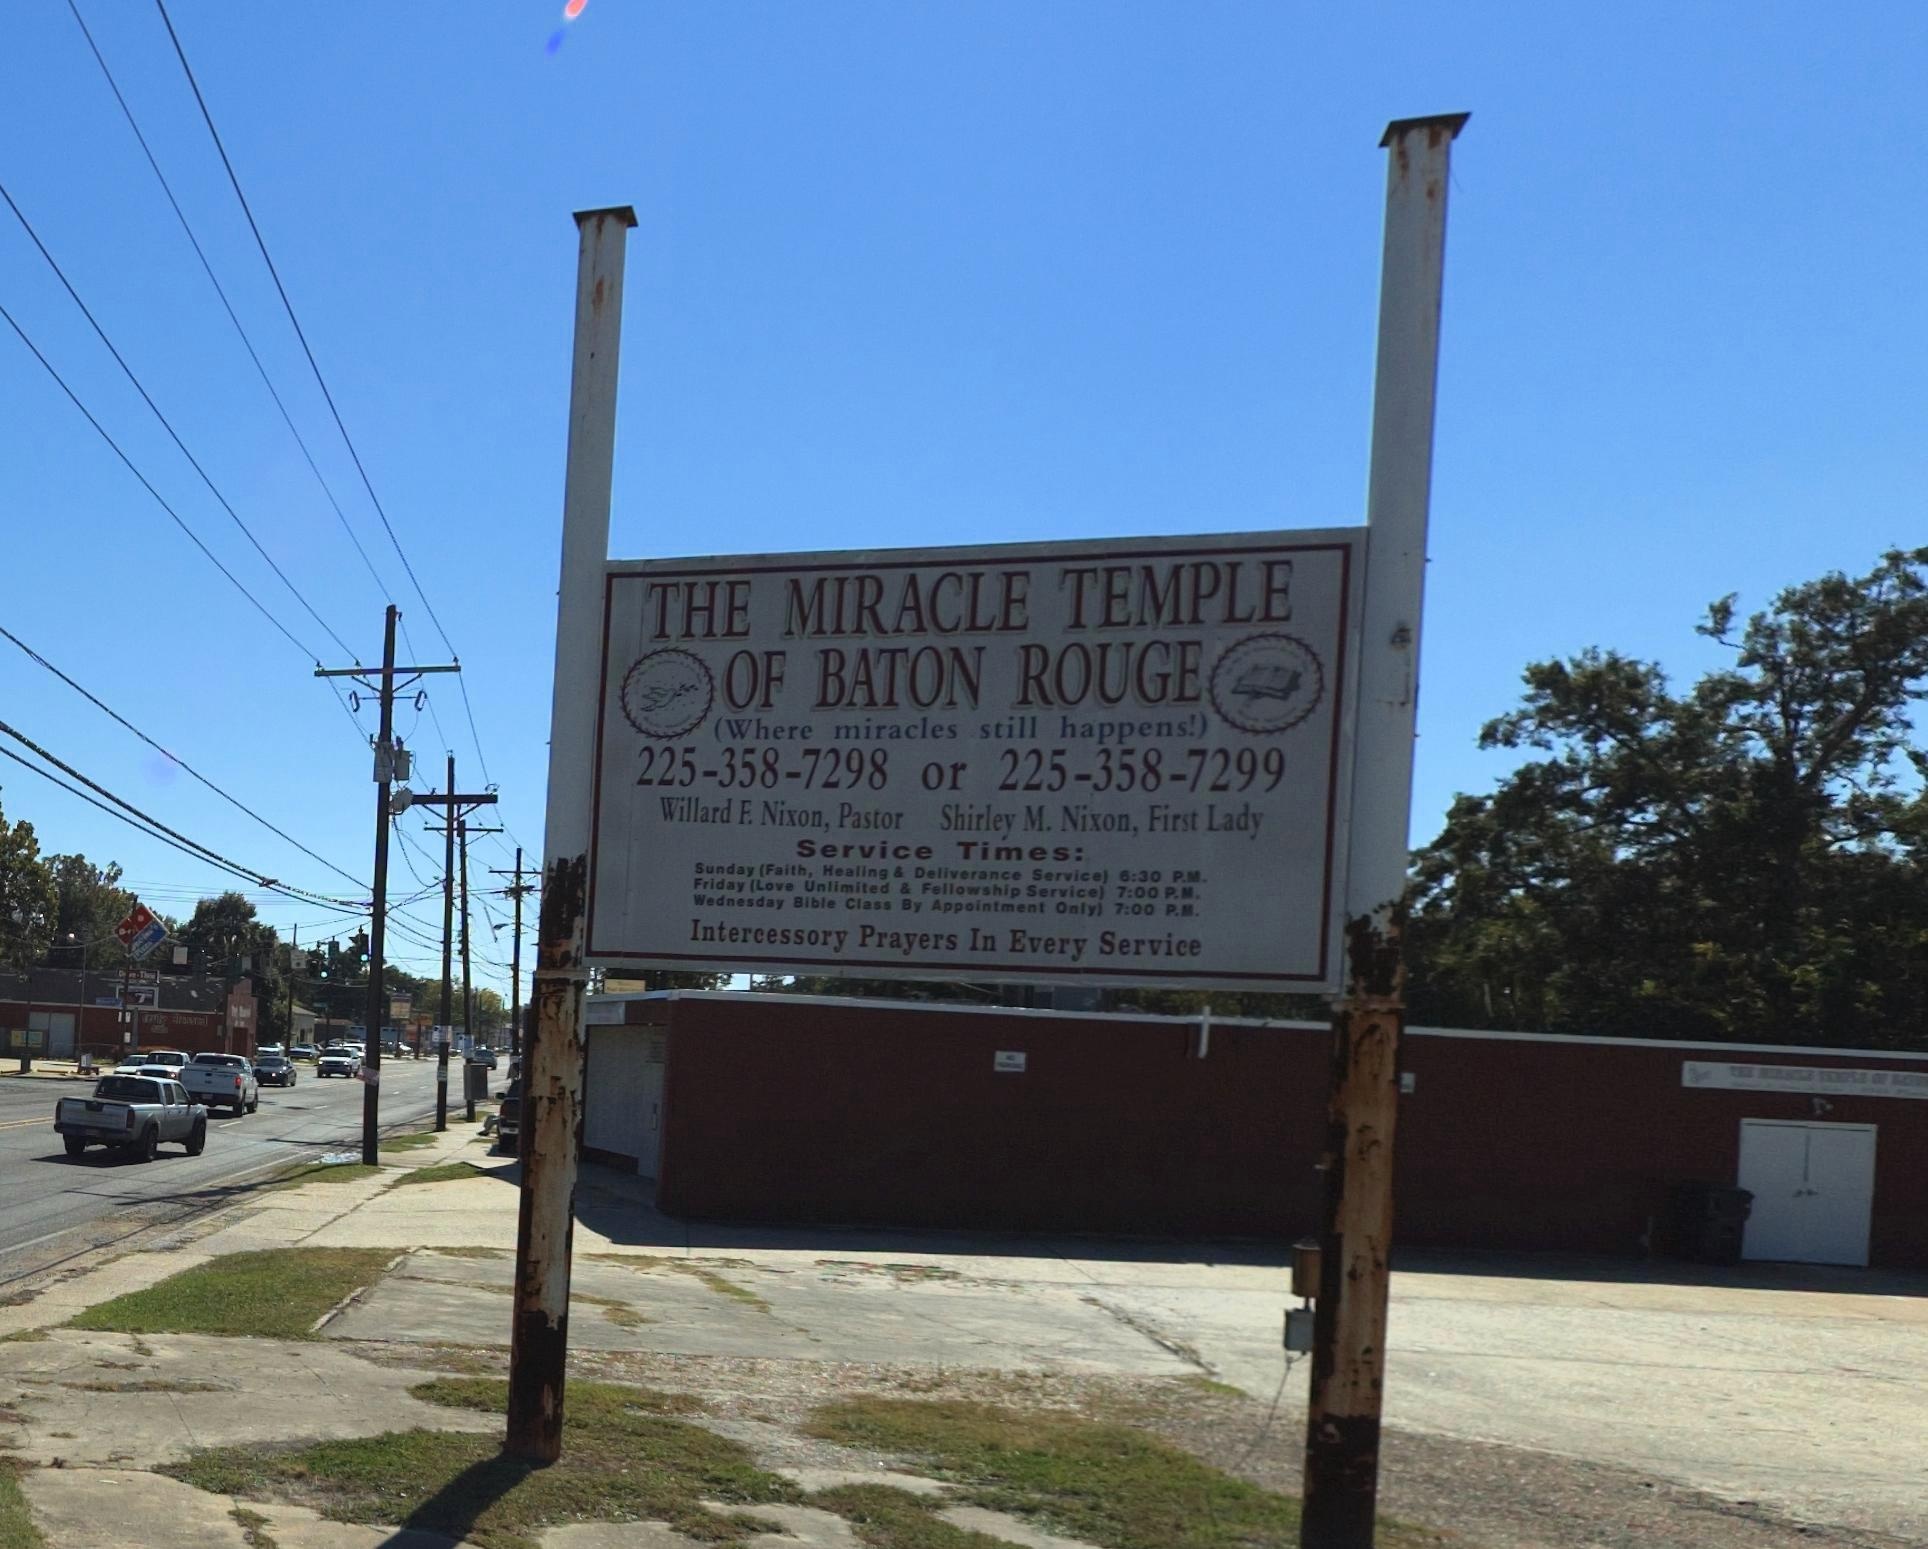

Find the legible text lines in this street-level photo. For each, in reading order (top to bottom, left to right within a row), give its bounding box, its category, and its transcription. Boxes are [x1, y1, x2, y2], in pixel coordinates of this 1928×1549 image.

[641, 553, 1297, 647] BusinessName: THE MIRACLE TEMPLE
[717, 633, 1211, 718] BusinessName: OF BATON ROUGE
[723, 710, 1199, 749] None: Where miracles still happens!
[632, 742, 1291, 797] None: 225-358-7298 or 225-358-7299
[655, 792, 1268, 845] None: Willard F. Nixon, Pastor Shirley M. Nixon, First Lady
[794, 834, 1087, 866] None: Service Times:
[691, 891, 1202, 920] None: Wednesday Bible Class By Appointment Only) 7:00 P.M.
[692, 875, 1203, 902] None: Friday (Love Unlimited & Fellowship Service) 7:00 P.M.
[692, 859, 1212, 885] None: Sunday (Faith, Healing & Deliverance Service) 6:30 P.M.
[131, 936, 156, 960] BusinessName: Pizza
[687, 915, 1205, 965] None: Intercessory Prayers In Every Service